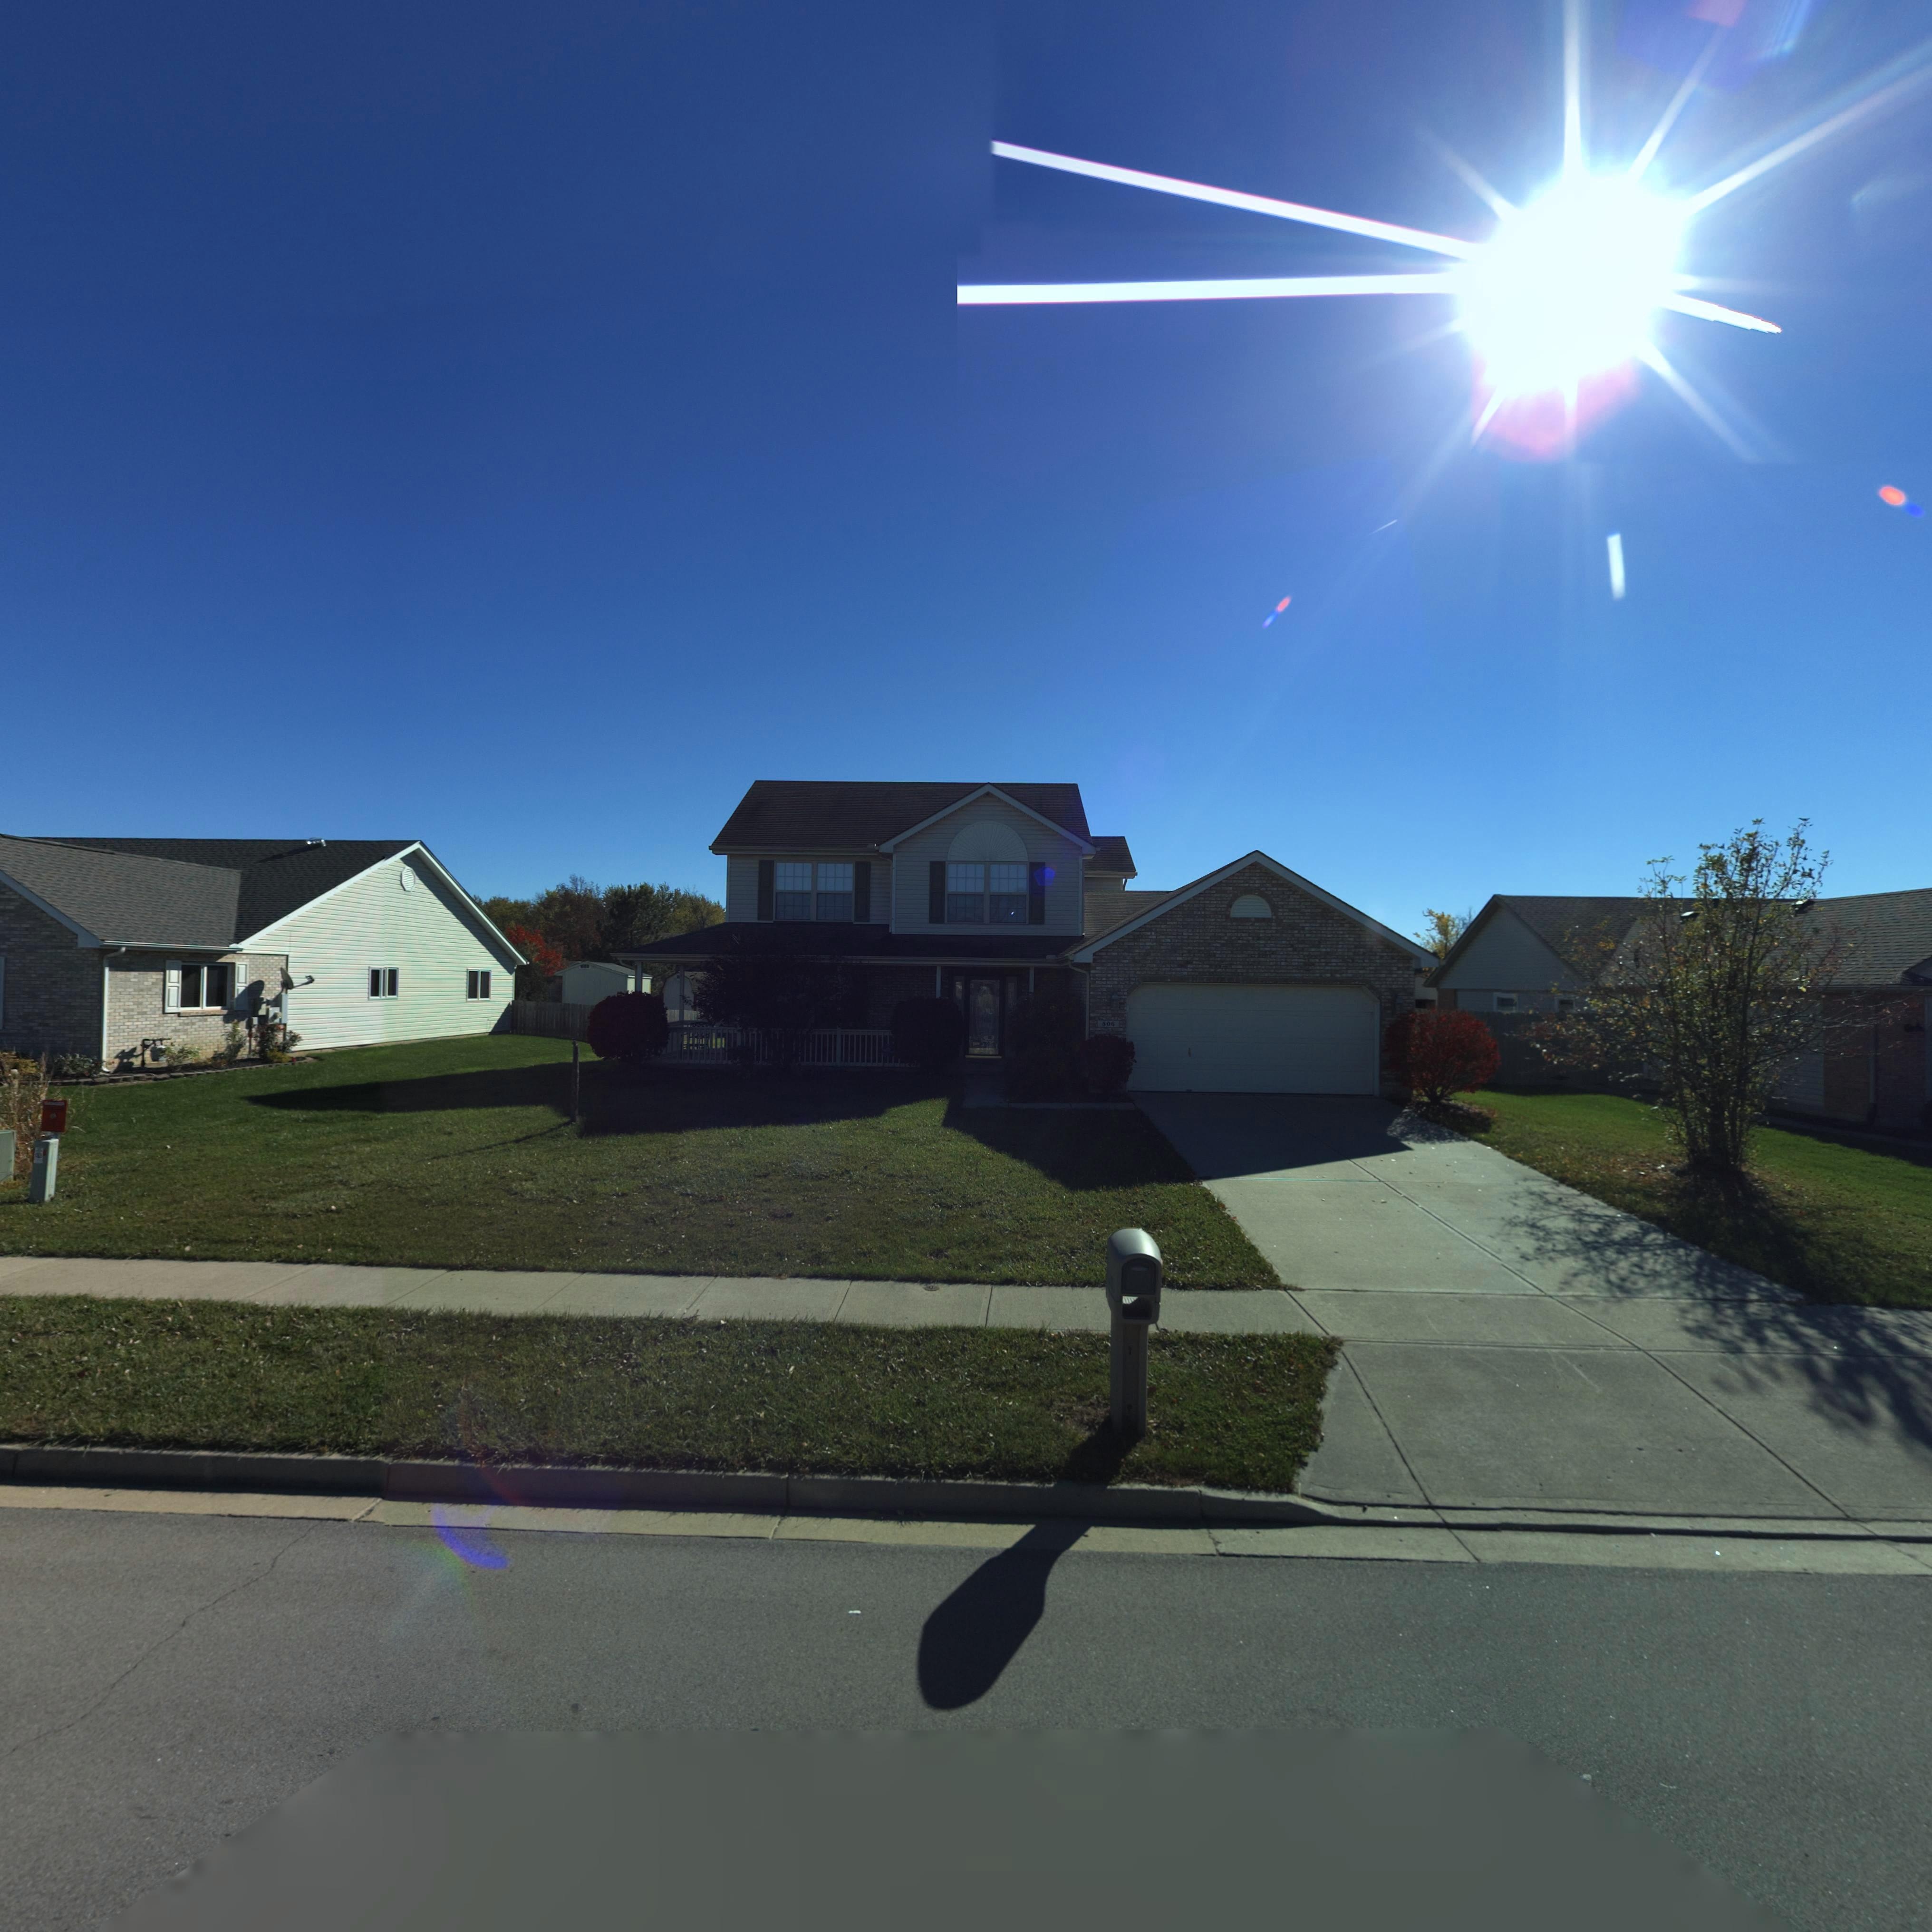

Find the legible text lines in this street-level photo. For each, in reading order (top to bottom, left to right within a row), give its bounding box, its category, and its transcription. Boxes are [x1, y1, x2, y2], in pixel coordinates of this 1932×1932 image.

[1101, 1021, 1116, 1027] StreetNumber: 506